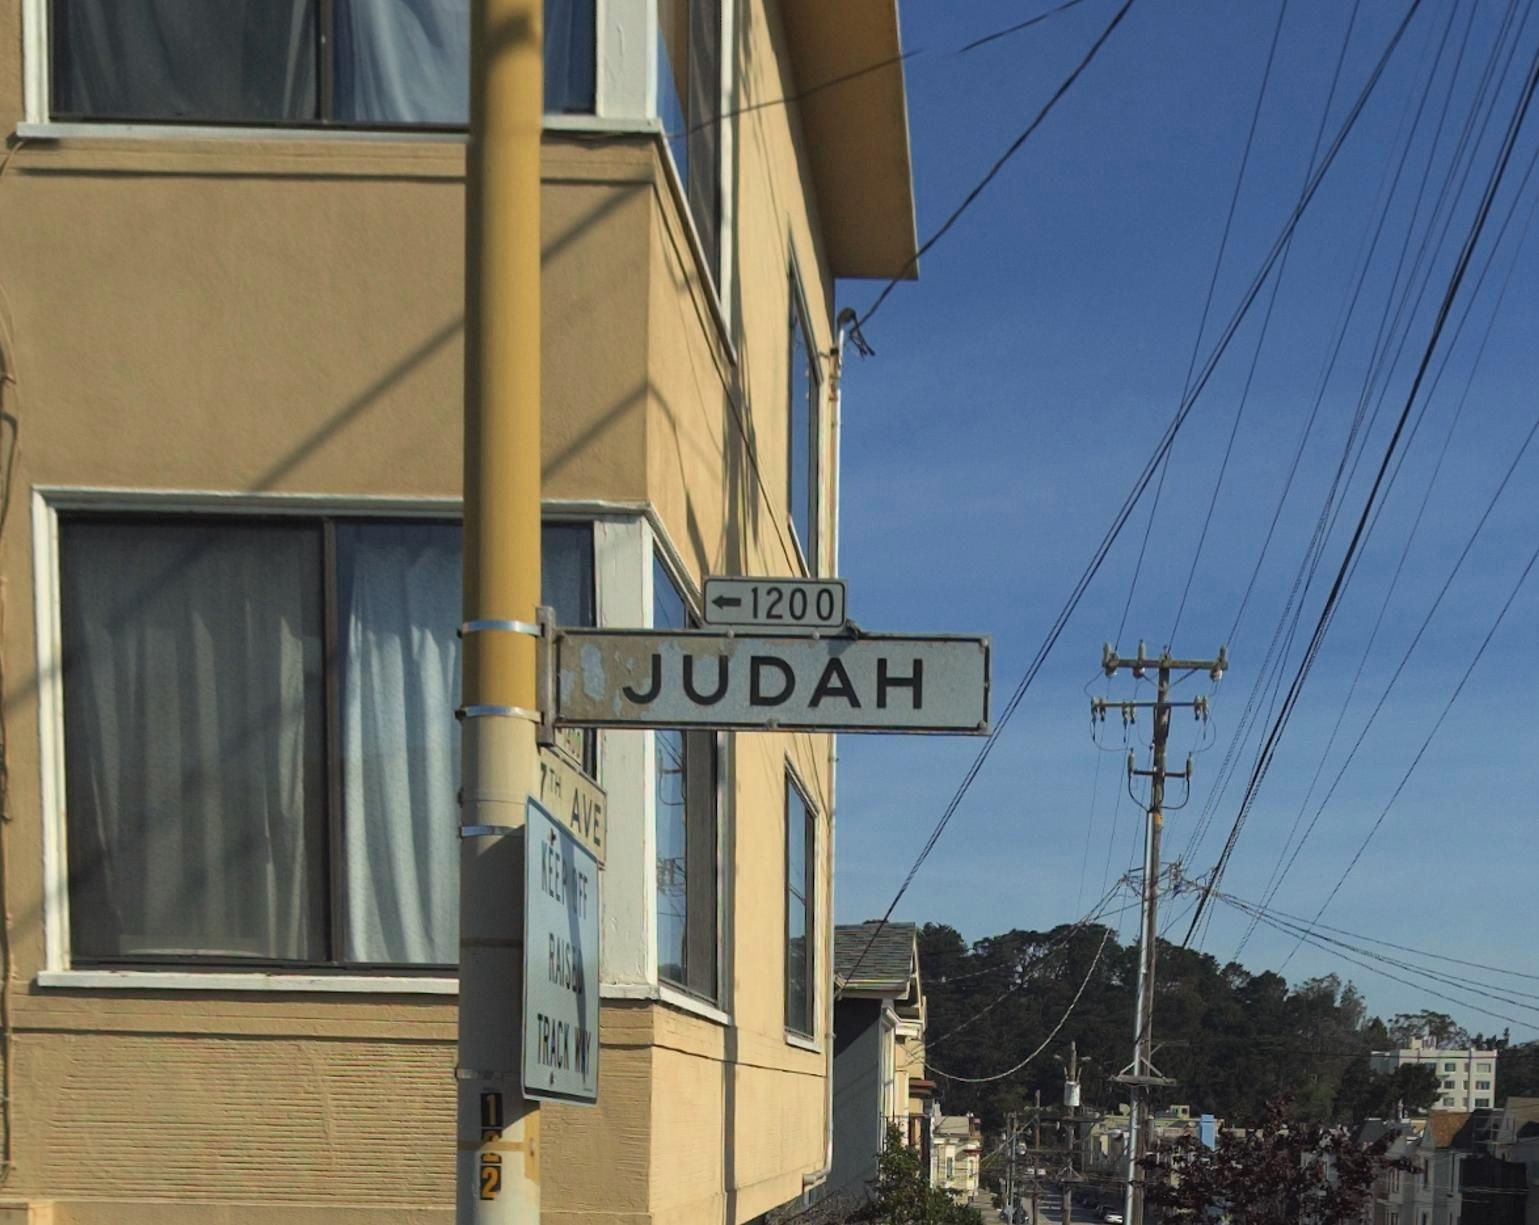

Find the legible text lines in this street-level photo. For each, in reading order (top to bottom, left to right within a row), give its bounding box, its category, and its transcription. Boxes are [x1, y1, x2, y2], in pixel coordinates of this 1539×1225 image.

[707, 580, 839, 624] StreetNumberRange: <-1200
[618, 646, 925, 712] StreetName: JUDAH
[535, 752, 604, 851] StreetName: 7TH AVE
[538, 834, 590, 926] None: KEEP OFF
[545, 929, 589, 998] None: RAISED
[532, 1010, 593, 1080] None: TRACK WAY
[478, 1089, 504, 1203] None: 1*2